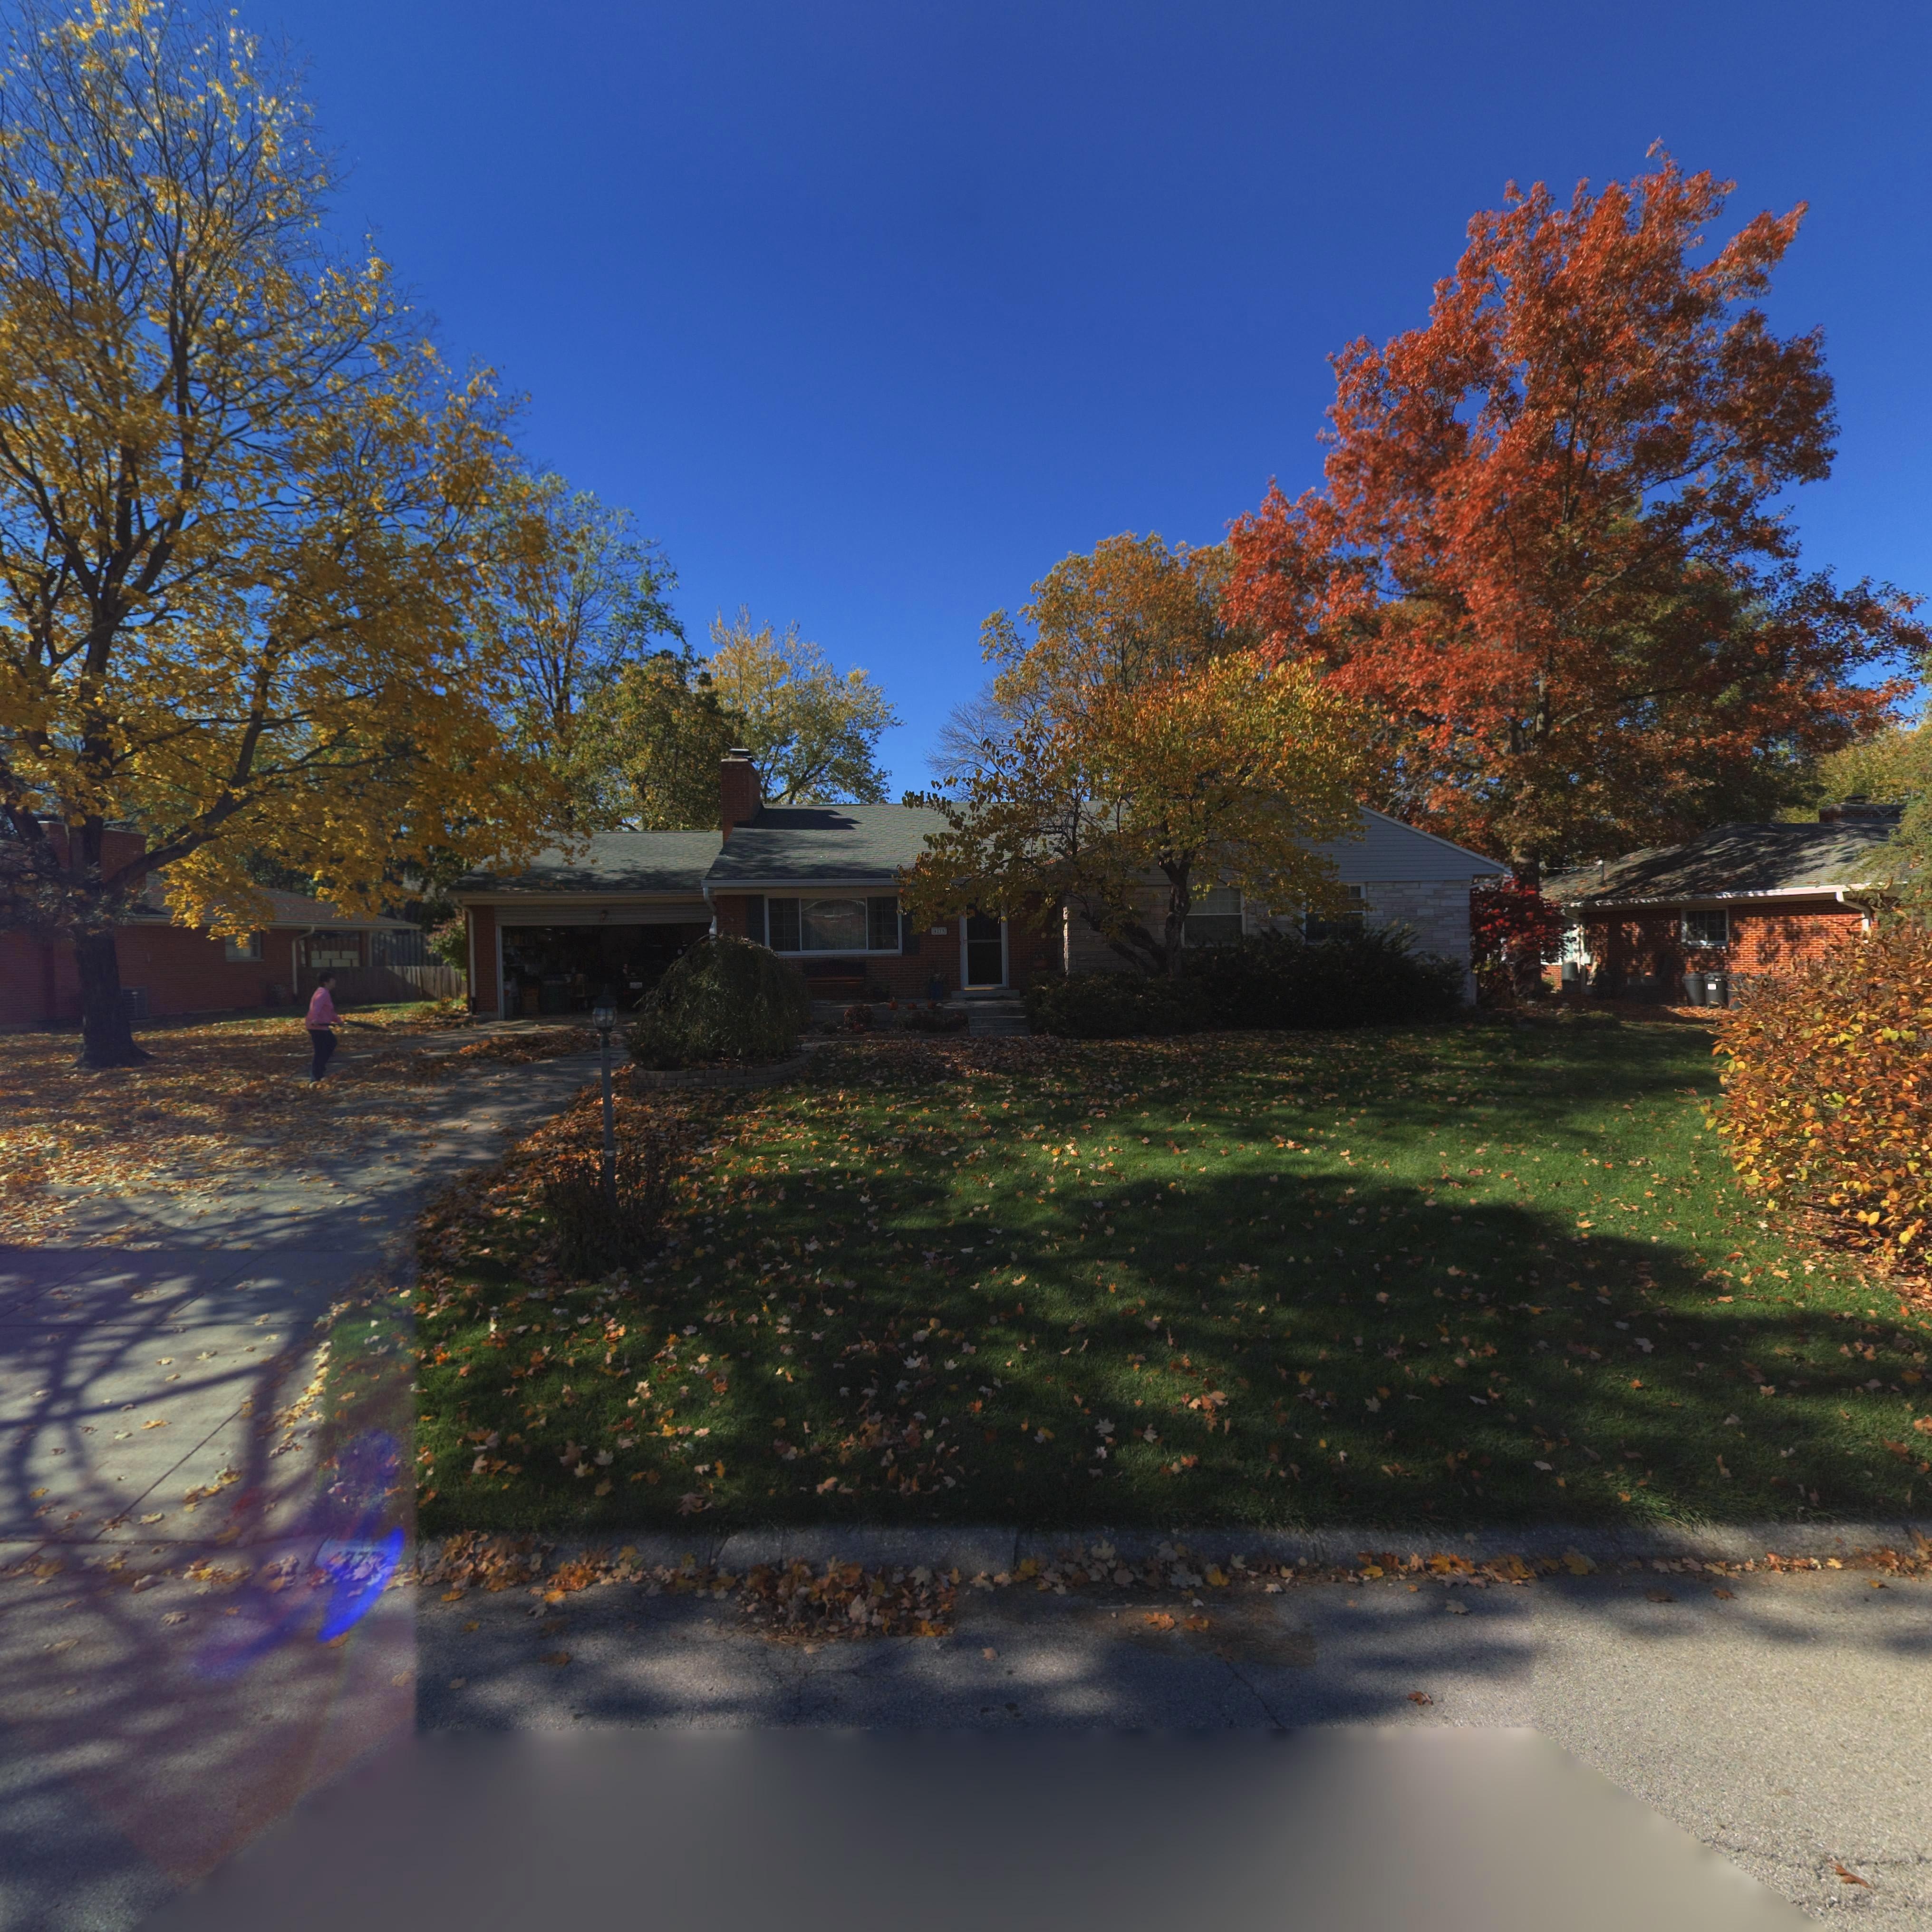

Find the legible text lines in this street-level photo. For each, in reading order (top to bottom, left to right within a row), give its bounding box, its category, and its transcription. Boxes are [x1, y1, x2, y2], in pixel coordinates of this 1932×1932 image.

[933, 928, 945, 934] StreetNumber: **7*
[353, 1549, 370, 1570] StreetNumber: 7